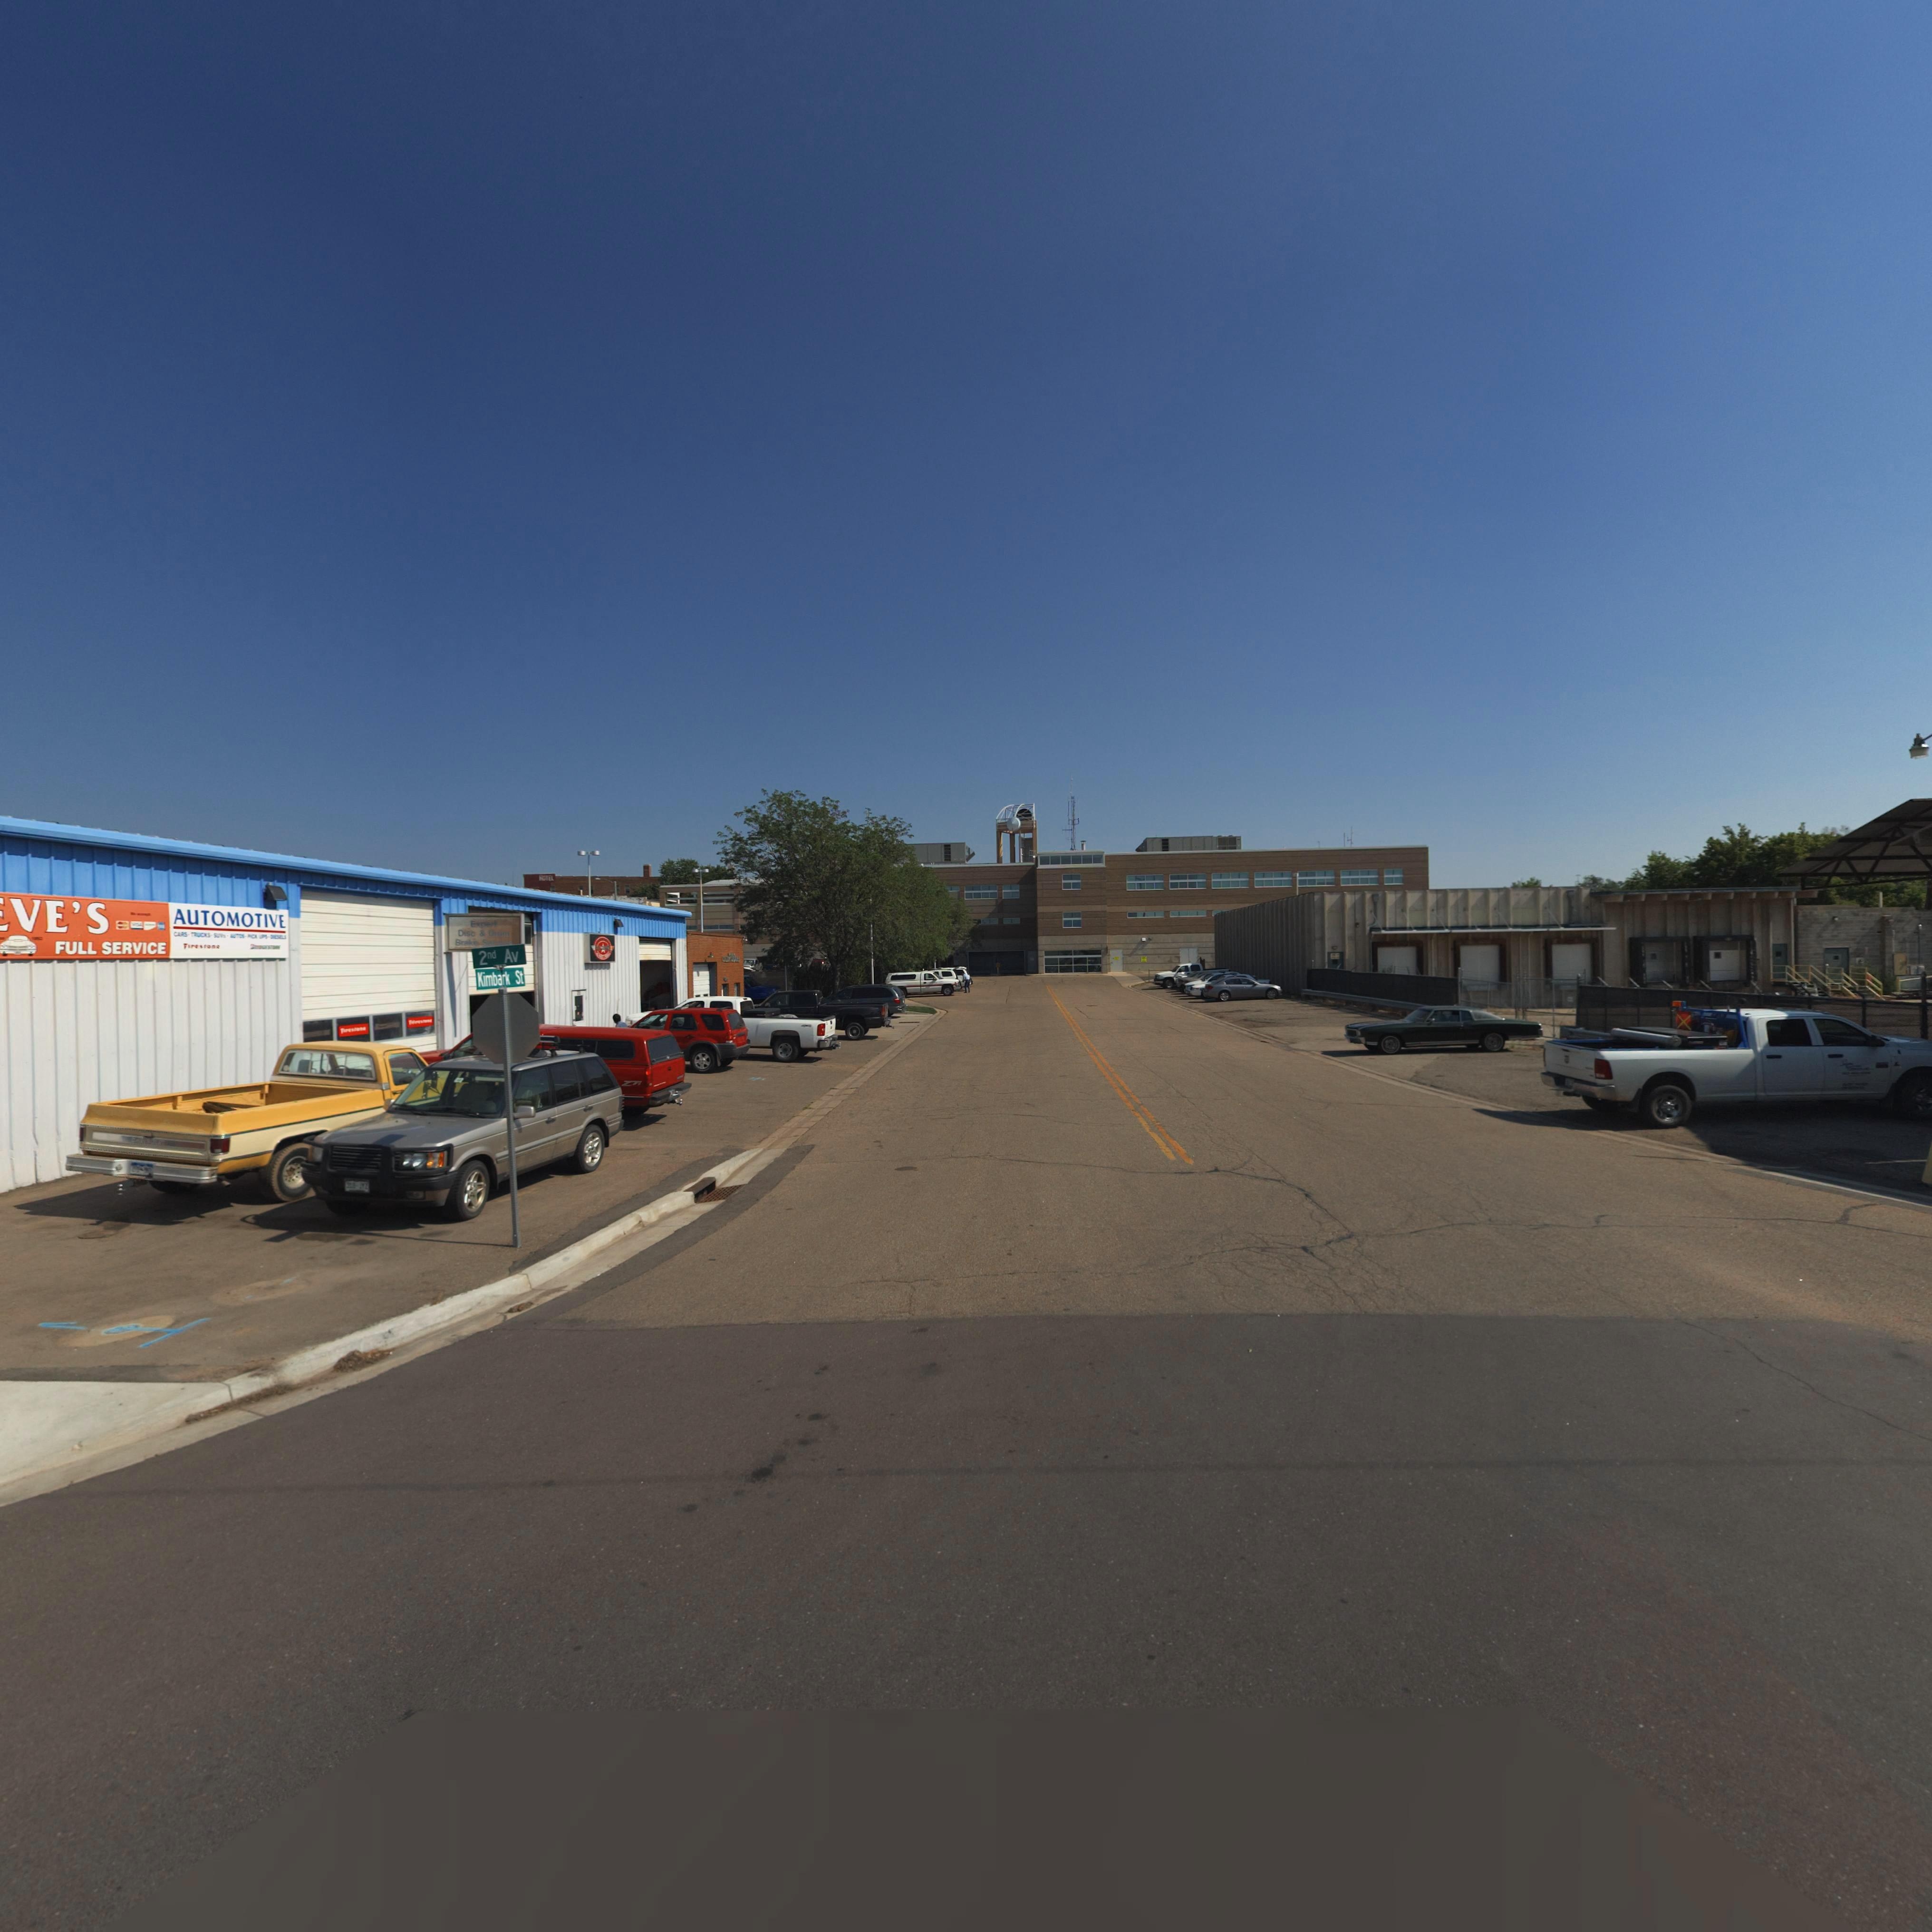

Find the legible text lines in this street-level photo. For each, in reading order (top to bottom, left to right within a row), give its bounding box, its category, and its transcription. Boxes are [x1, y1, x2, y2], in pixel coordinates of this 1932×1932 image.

[5, 896, 114, 937] BusinessName: VE'S
[172, 908, 287, 928] BusinessName: AUTOMOTIVE
[478, 948, 519, 966] StreetName: 2nd Av
[477, 969, 524, 987] StreetName: Kimbark St